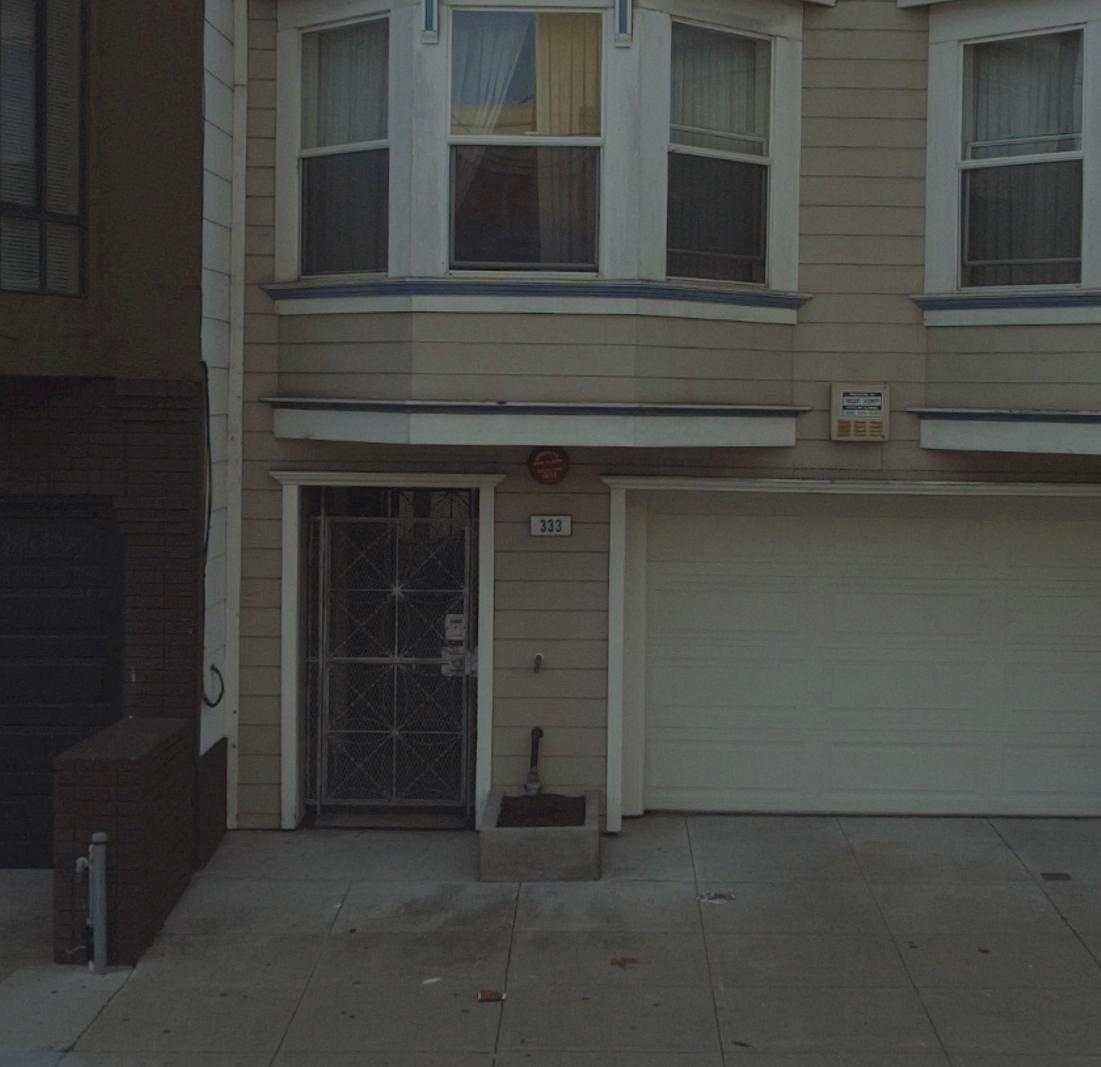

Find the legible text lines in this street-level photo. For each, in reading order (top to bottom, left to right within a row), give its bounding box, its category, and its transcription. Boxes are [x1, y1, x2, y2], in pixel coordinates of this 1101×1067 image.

[539, 518, 563, 533] StreetNumber: 333